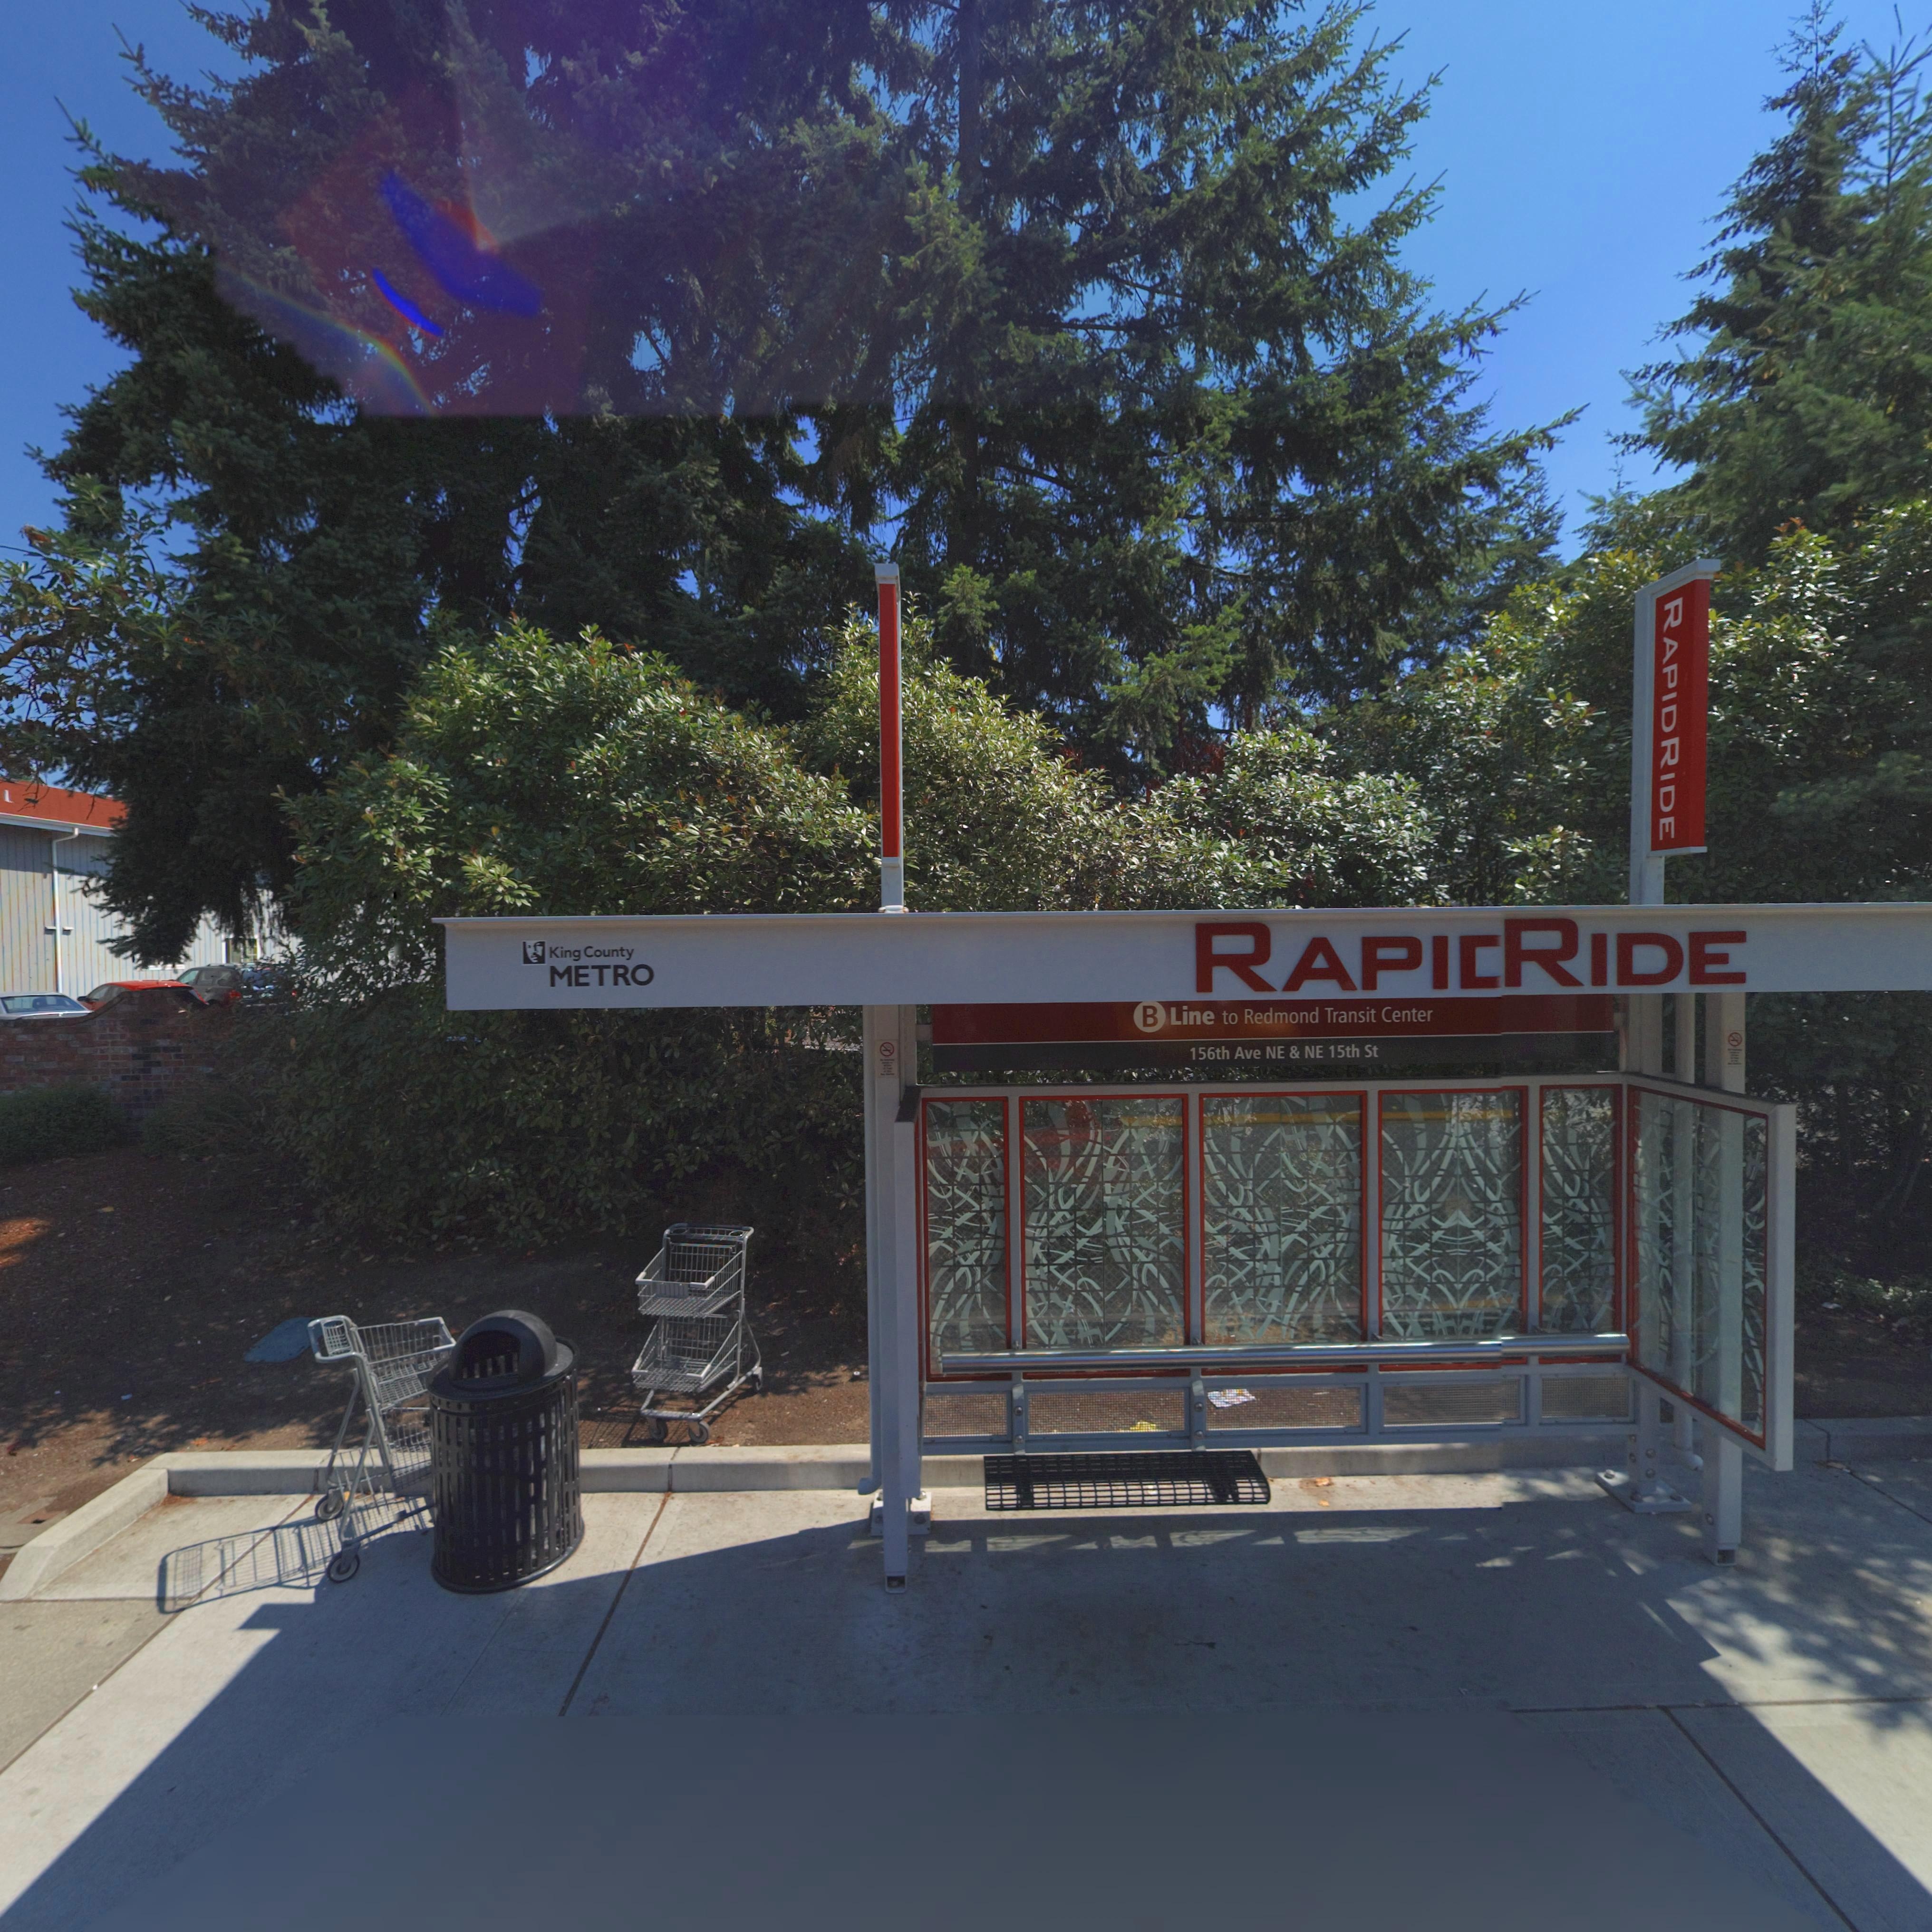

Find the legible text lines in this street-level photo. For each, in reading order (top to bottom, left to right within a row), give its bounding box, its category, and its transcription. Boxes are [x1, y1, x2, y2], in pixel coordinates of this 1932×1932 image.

[1188, 1043, 1379, 1063] StreetName: 156th Ave NE * NE 15th St